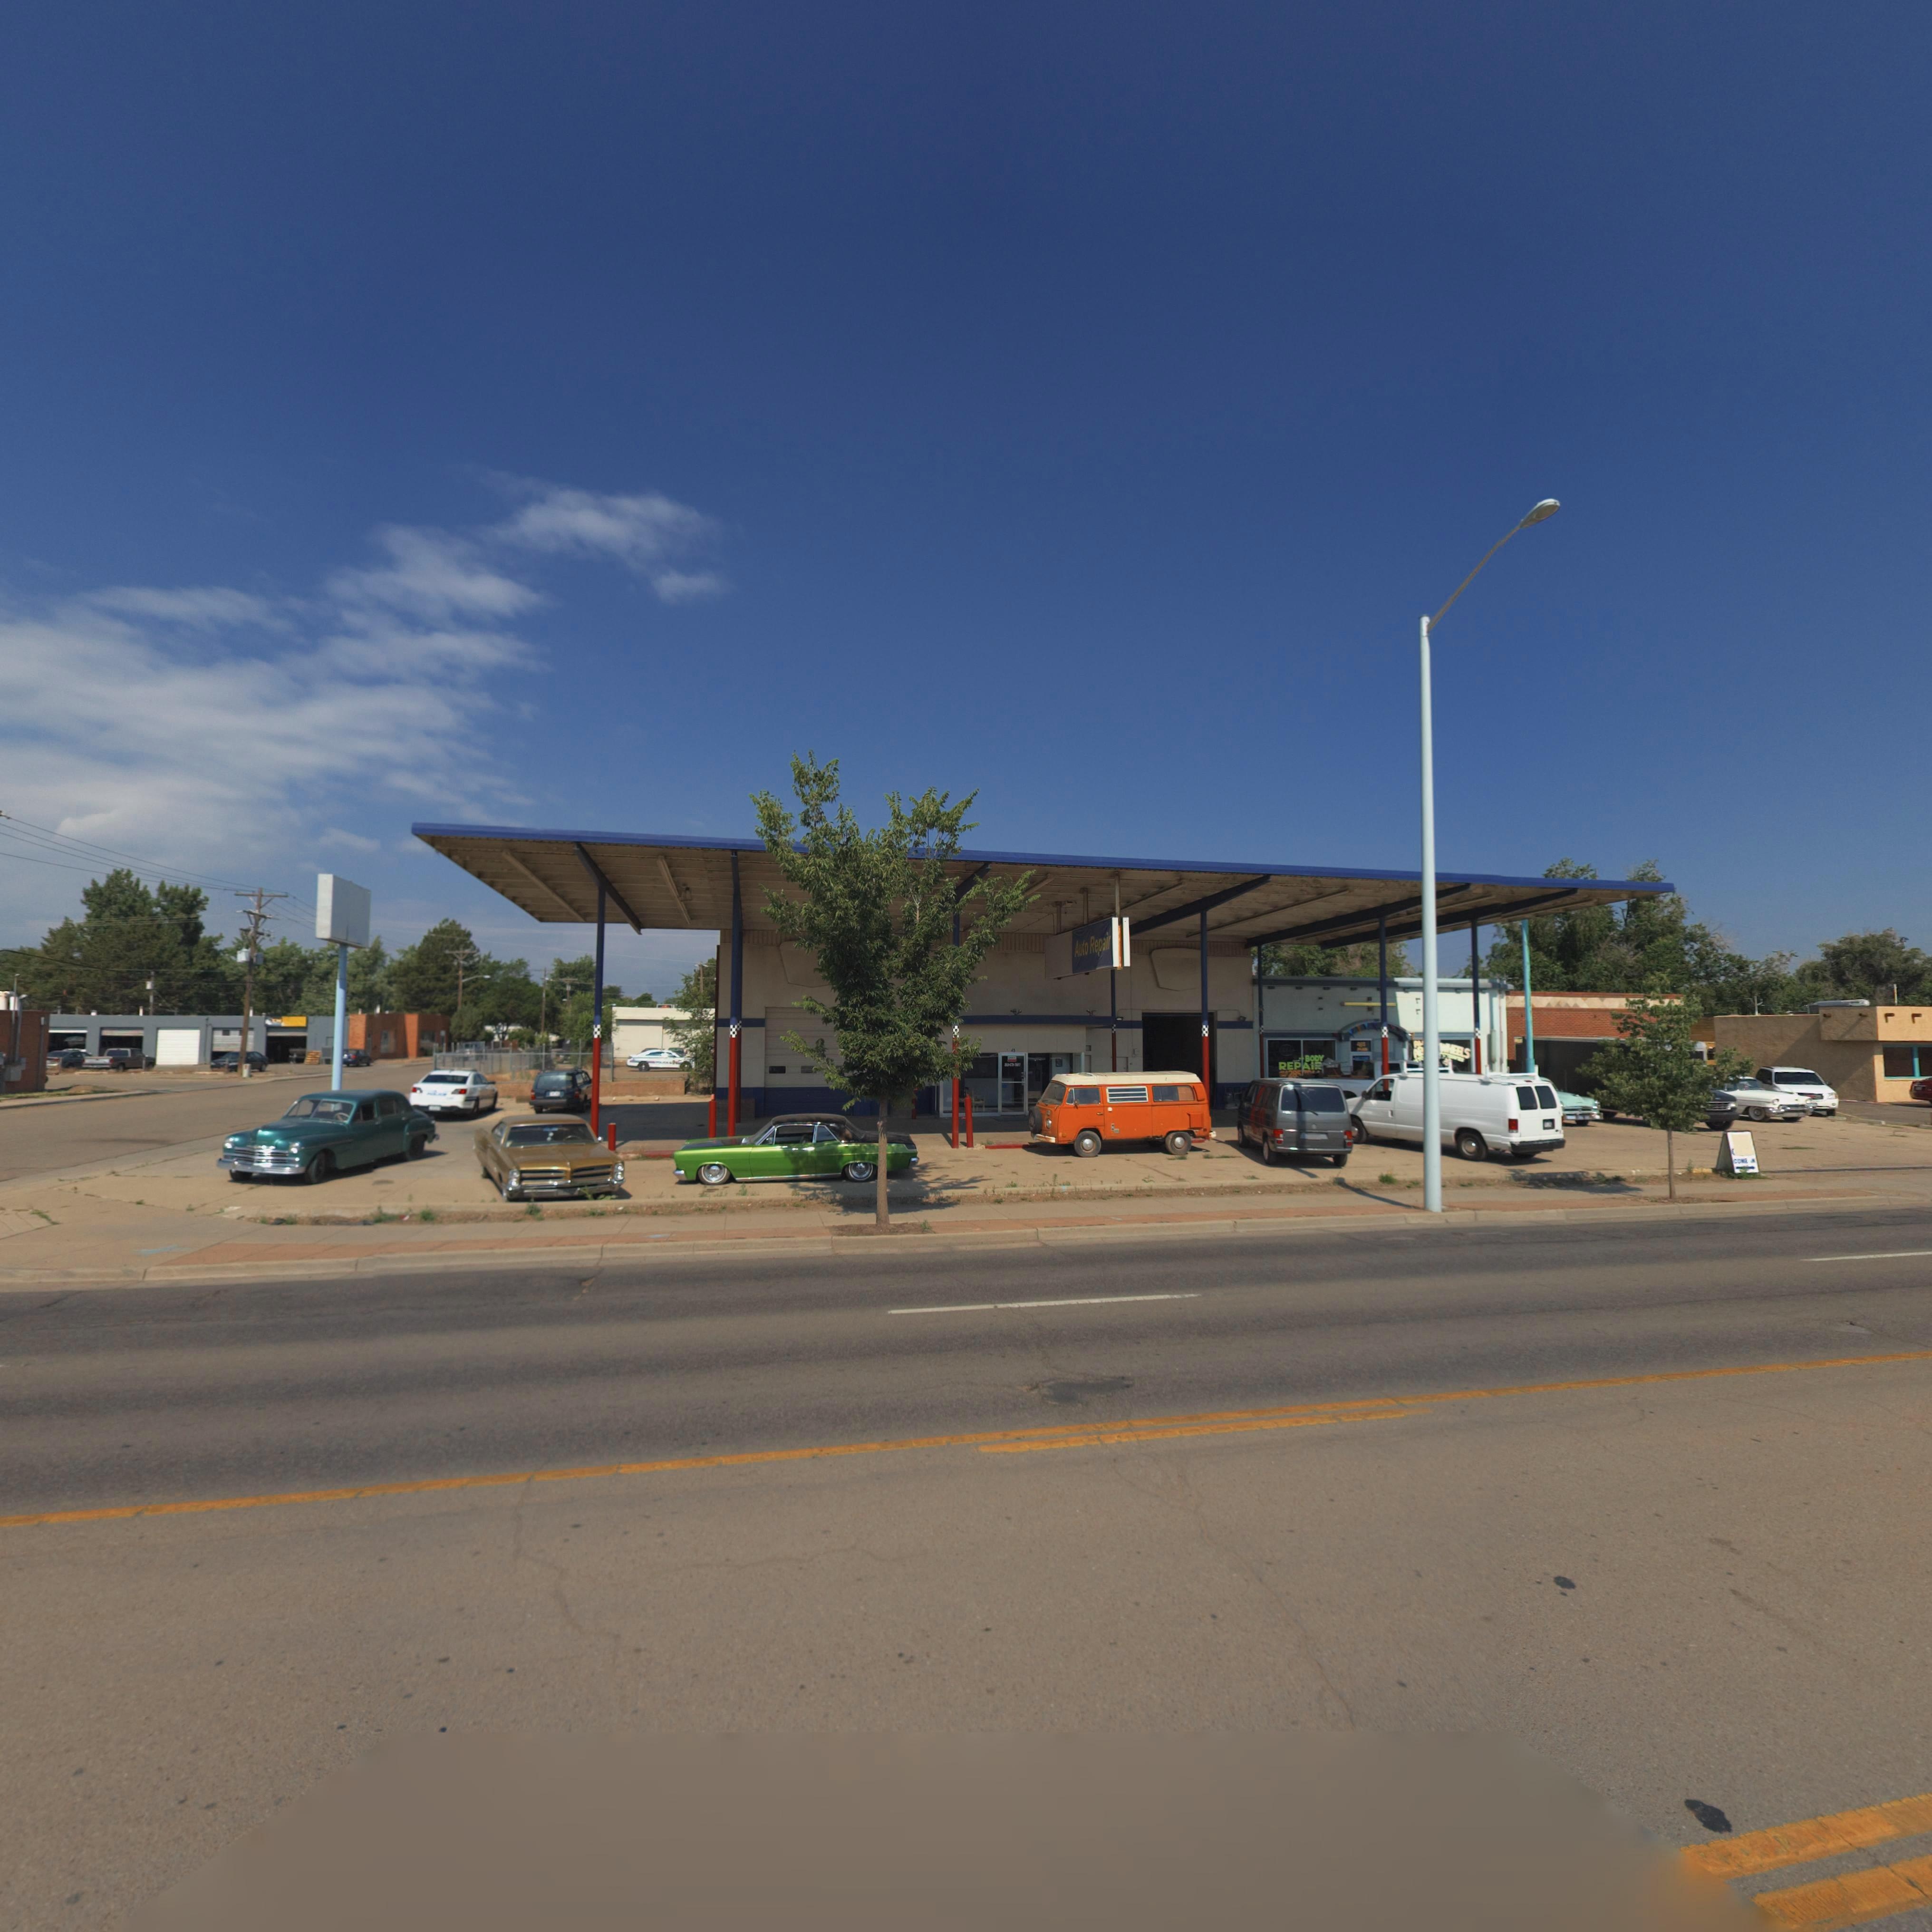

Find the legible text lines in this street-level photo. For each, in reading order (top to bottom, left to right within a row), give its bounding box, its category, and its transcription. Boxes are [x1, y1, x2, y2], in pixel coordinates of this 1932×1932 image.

[1356, 1042, 1362, 1047] StreetNumber: 41
[1362, 1042, 1365, 1046] StreetName: S
[1413, 1040, 1423, 1048] BusinessName: AL
[1011, 1048, 1015, 1052] StreetNumber: 45
[1413, 1045, 1424, 1059] BusinessName: A*
[1438, 1043, 1471, 1059] BusinessName: WHEELS